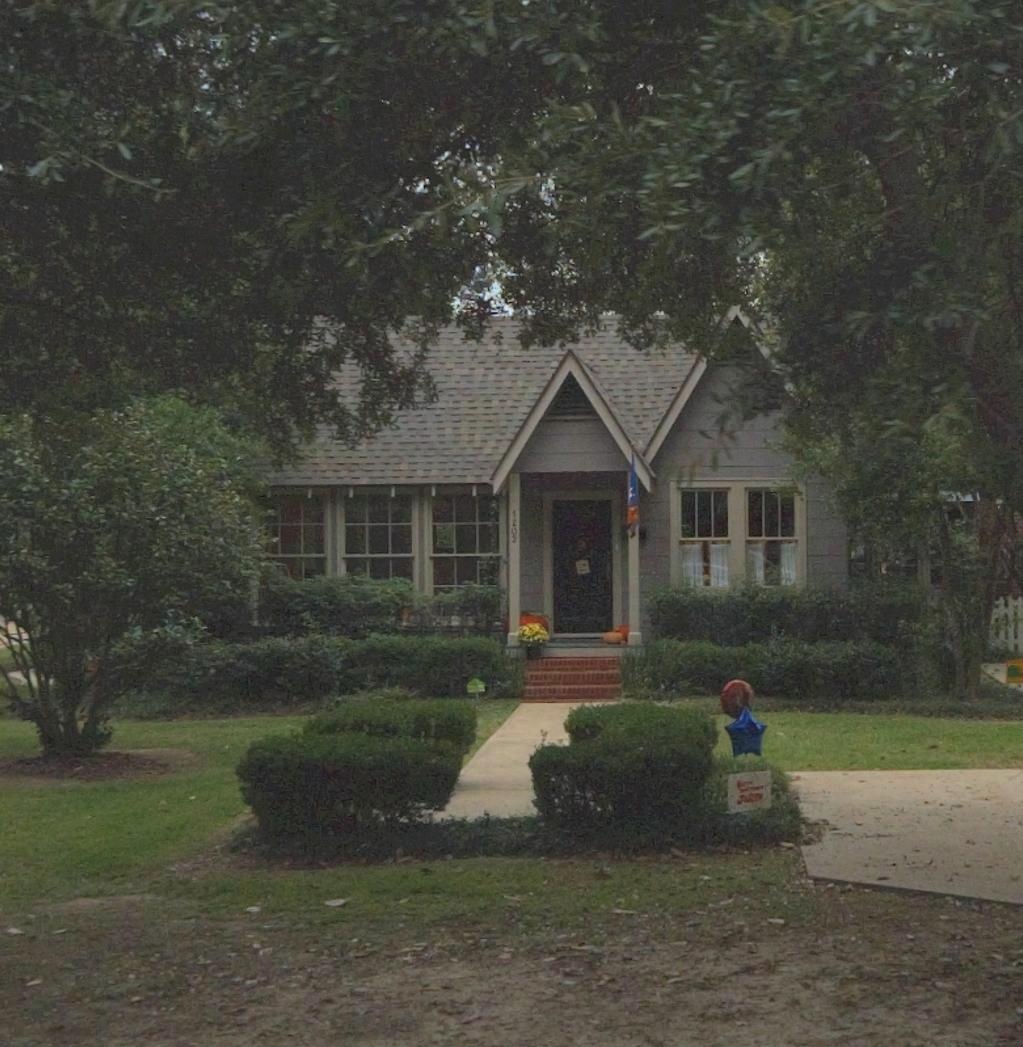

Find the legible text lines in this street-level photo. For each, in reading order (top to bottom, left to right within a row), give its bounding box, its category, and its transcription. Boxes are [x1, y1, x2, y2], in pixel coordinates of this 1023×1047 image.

[510, 508, 518, 546] StreetNumber: 1202